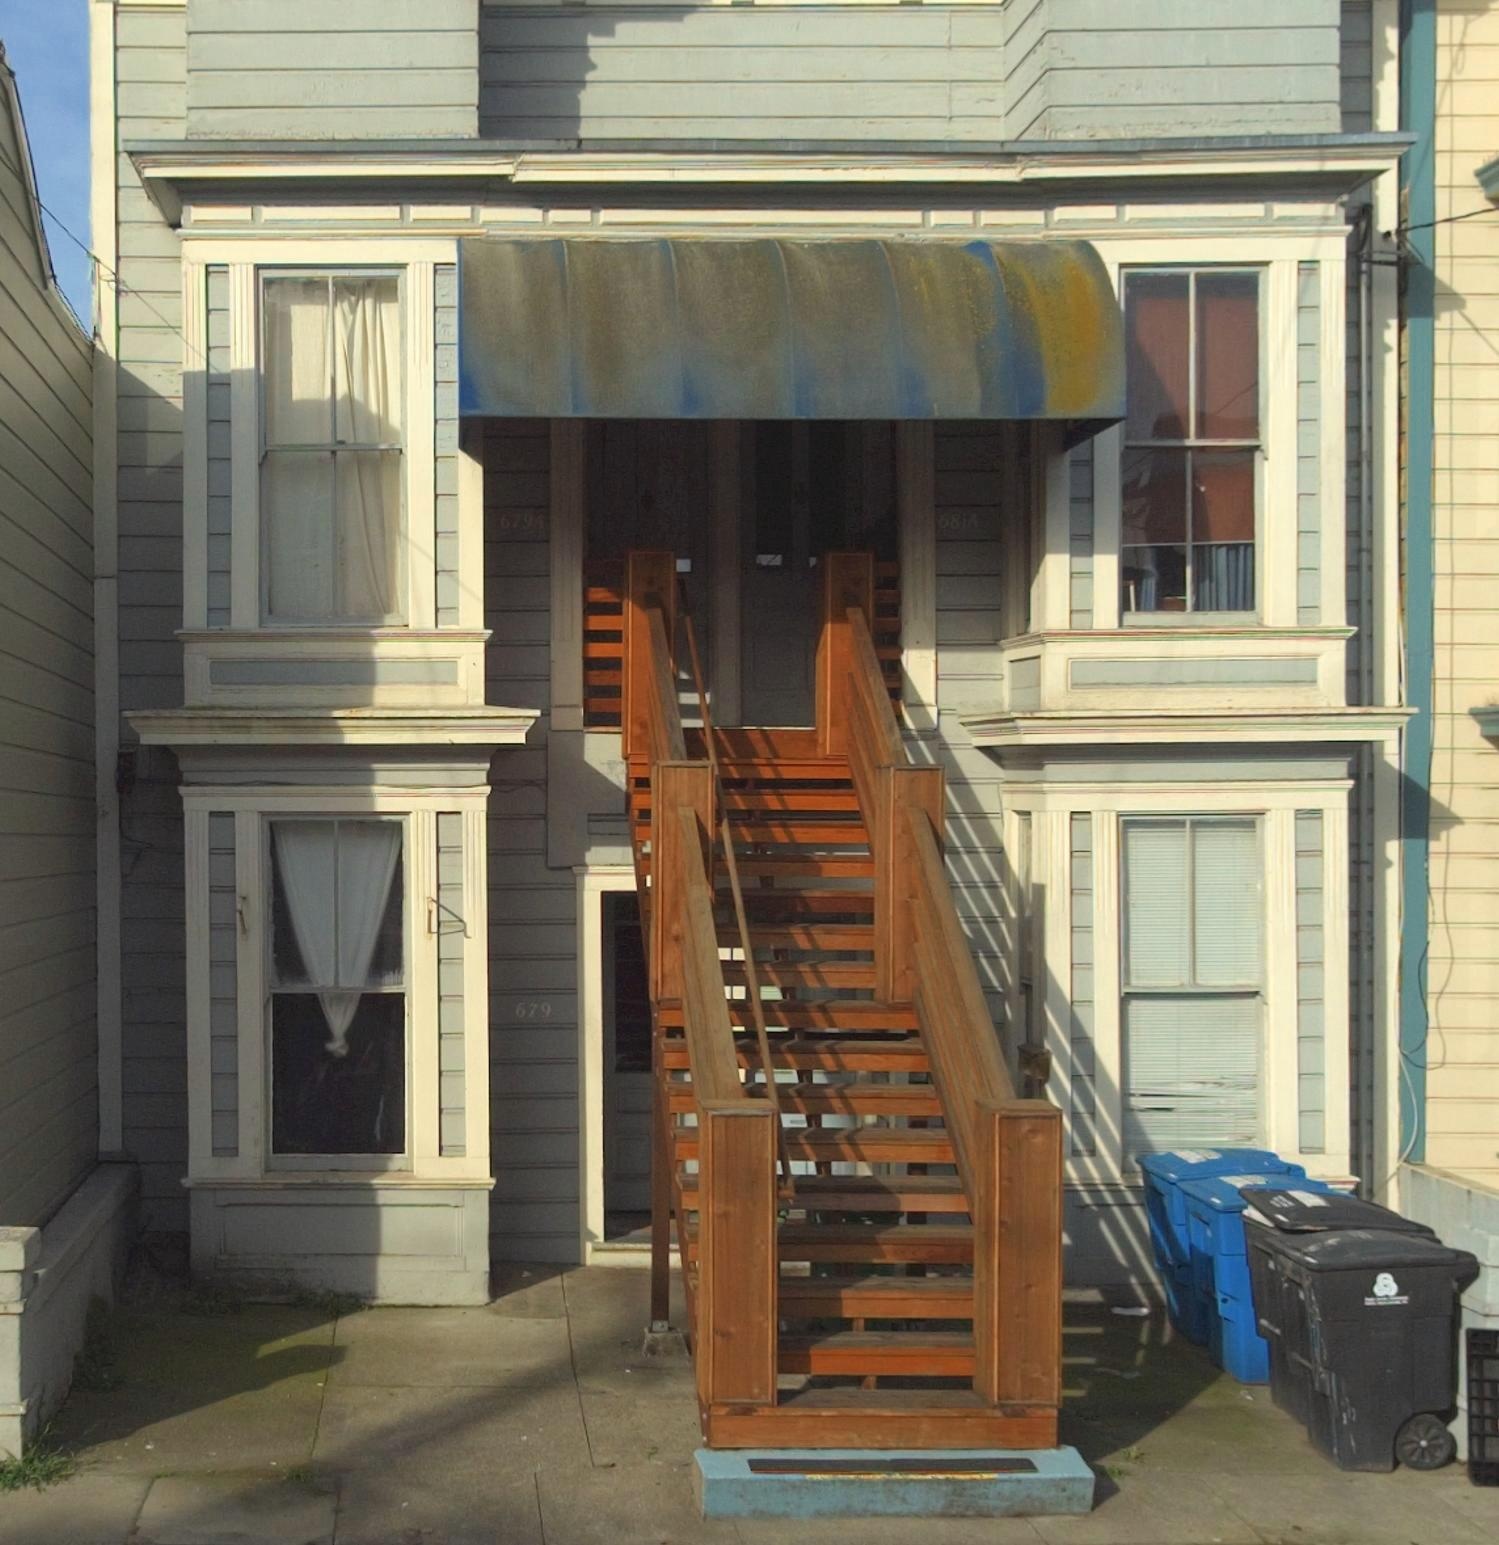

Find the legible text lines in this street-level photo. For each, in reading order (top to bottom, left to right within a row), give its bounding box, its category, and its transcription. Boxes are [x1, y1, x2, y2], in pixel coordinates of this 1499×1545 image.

[498, 509, 548, 532] StreetNumber: 679 A
[936, 511, 980, 531] StreetNumber: 681A
[514, 1000, 553, 1020] StreetNumber: 679